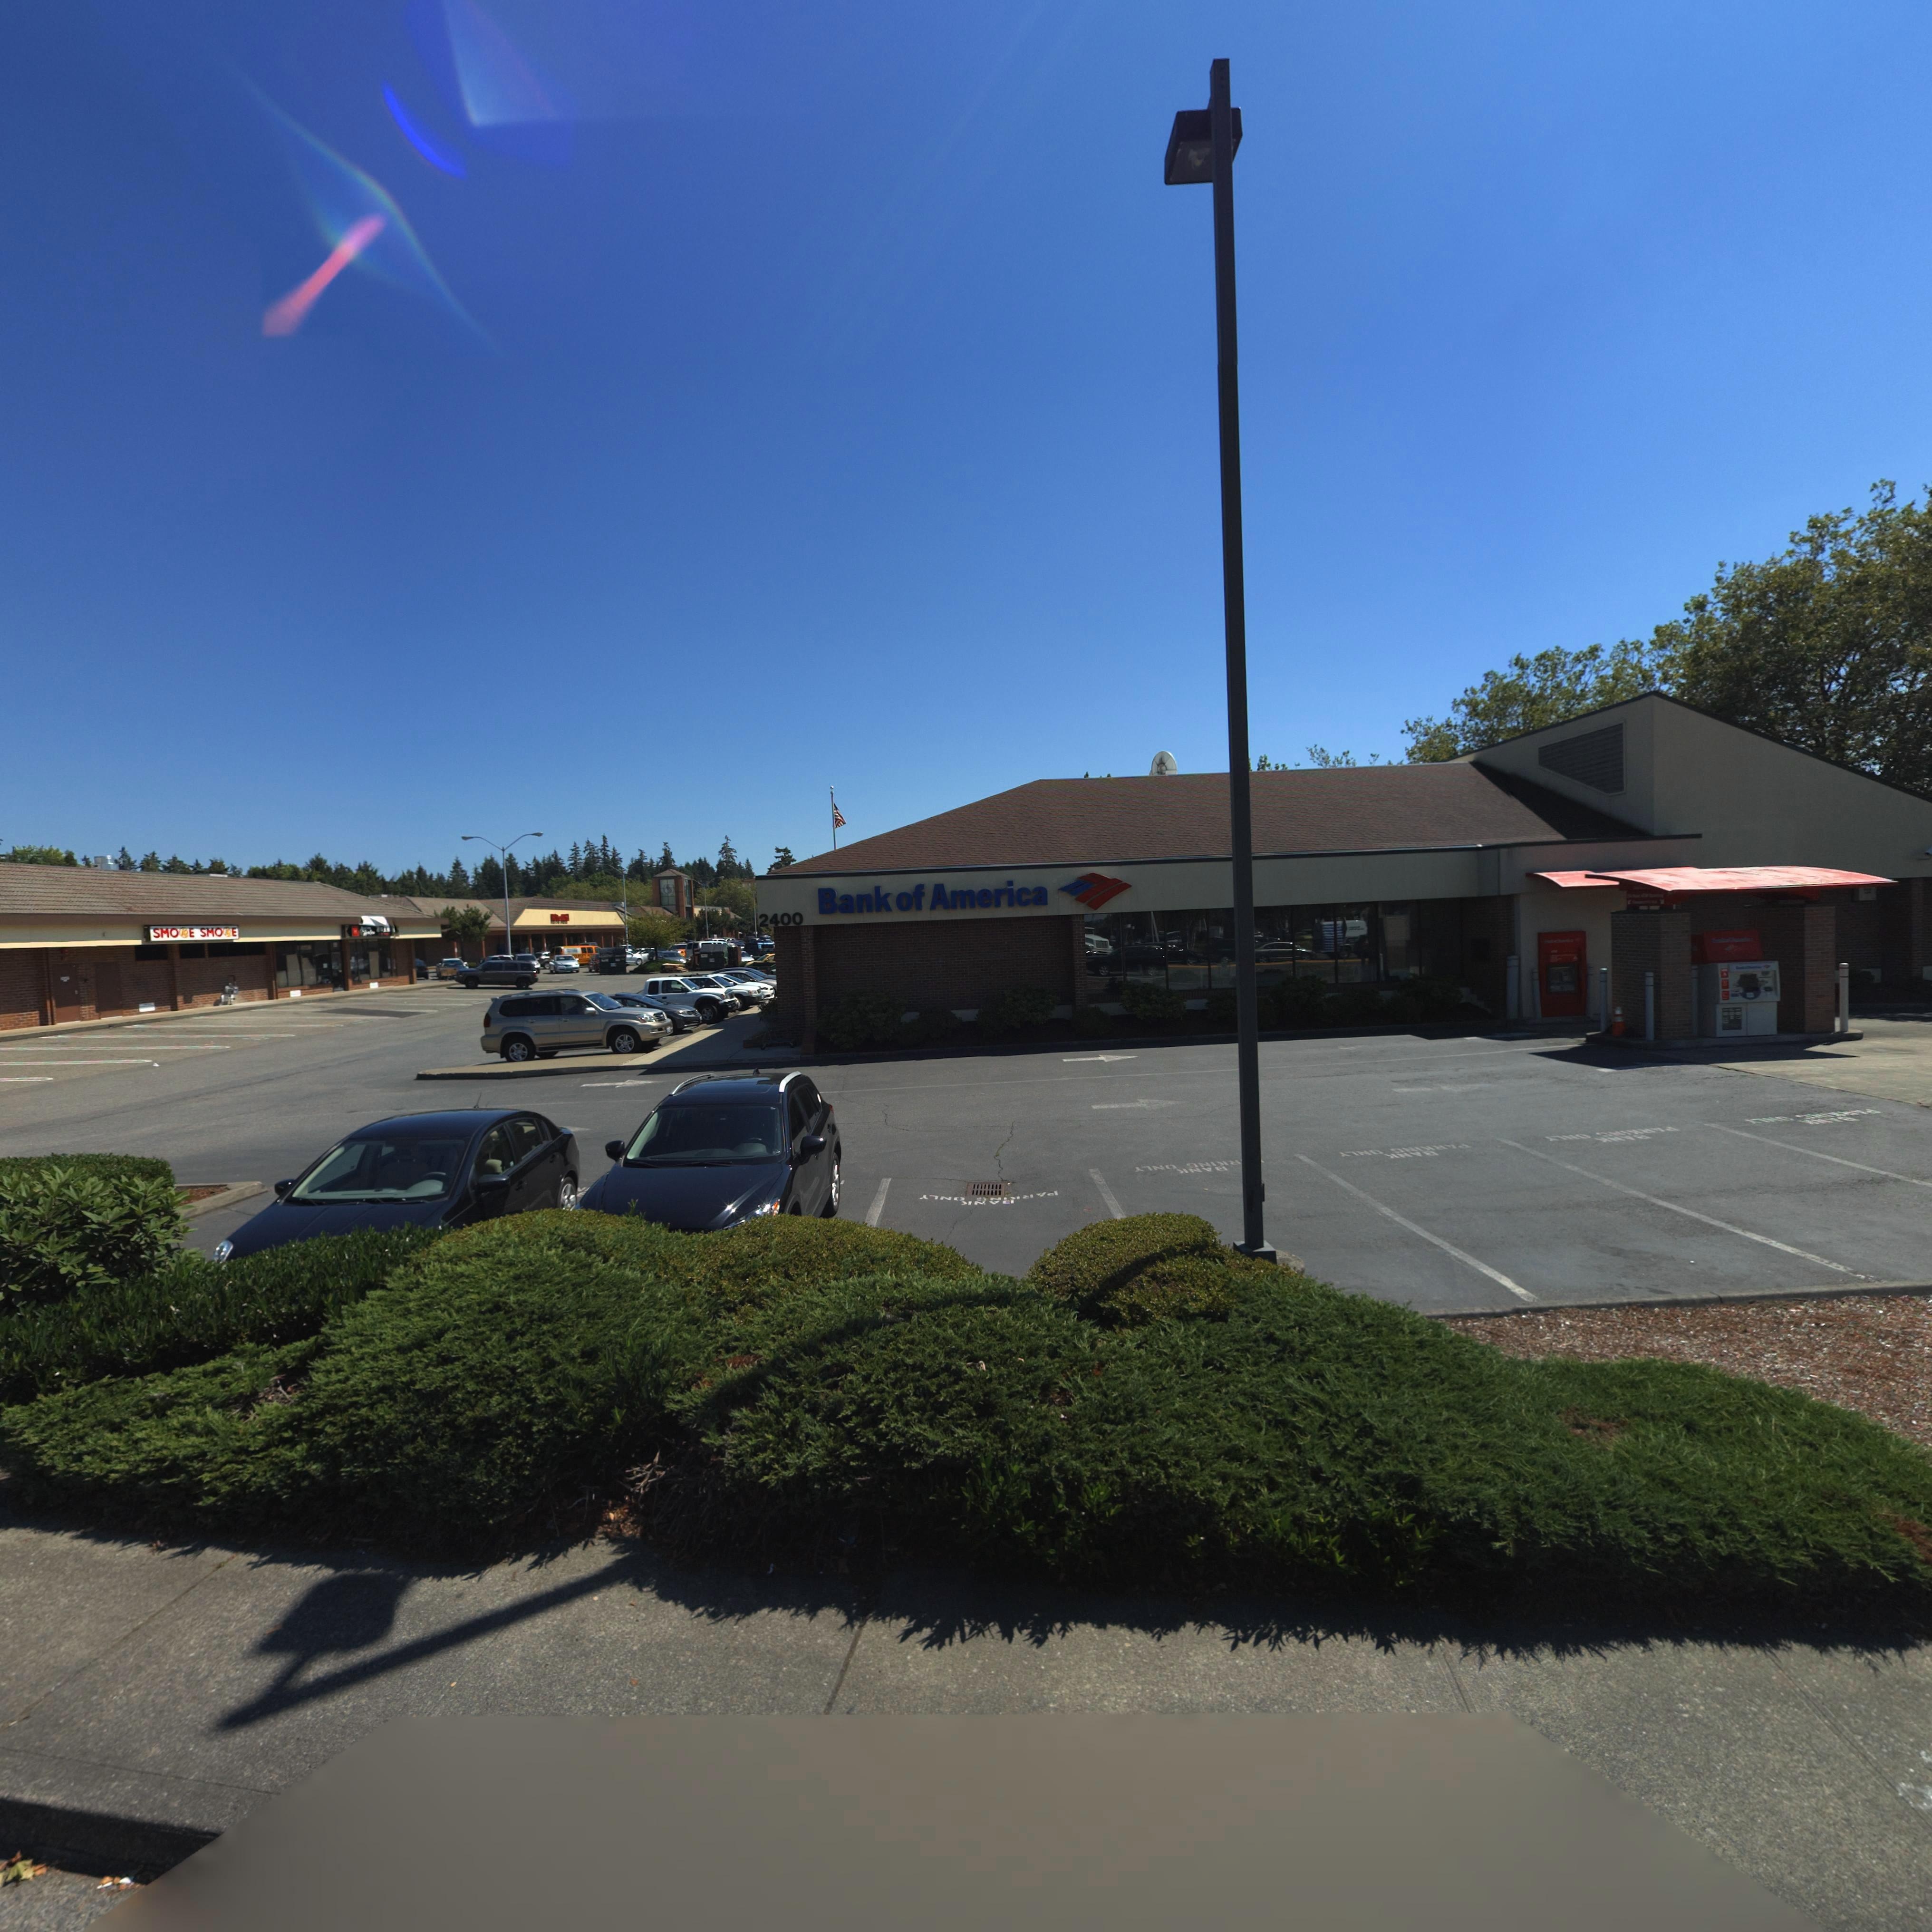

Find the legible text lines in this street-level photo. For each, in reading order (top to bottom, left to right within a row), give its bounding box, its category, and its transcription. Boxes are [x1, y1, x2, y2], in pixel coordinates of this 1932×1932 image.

[818, 878, 1050, 914] BusinessName: Bank of America
[759, 911, 804, 927] StreetNumber: 2400
[153, 927, 237, 939] BusinessName: SMO*E SMO*E